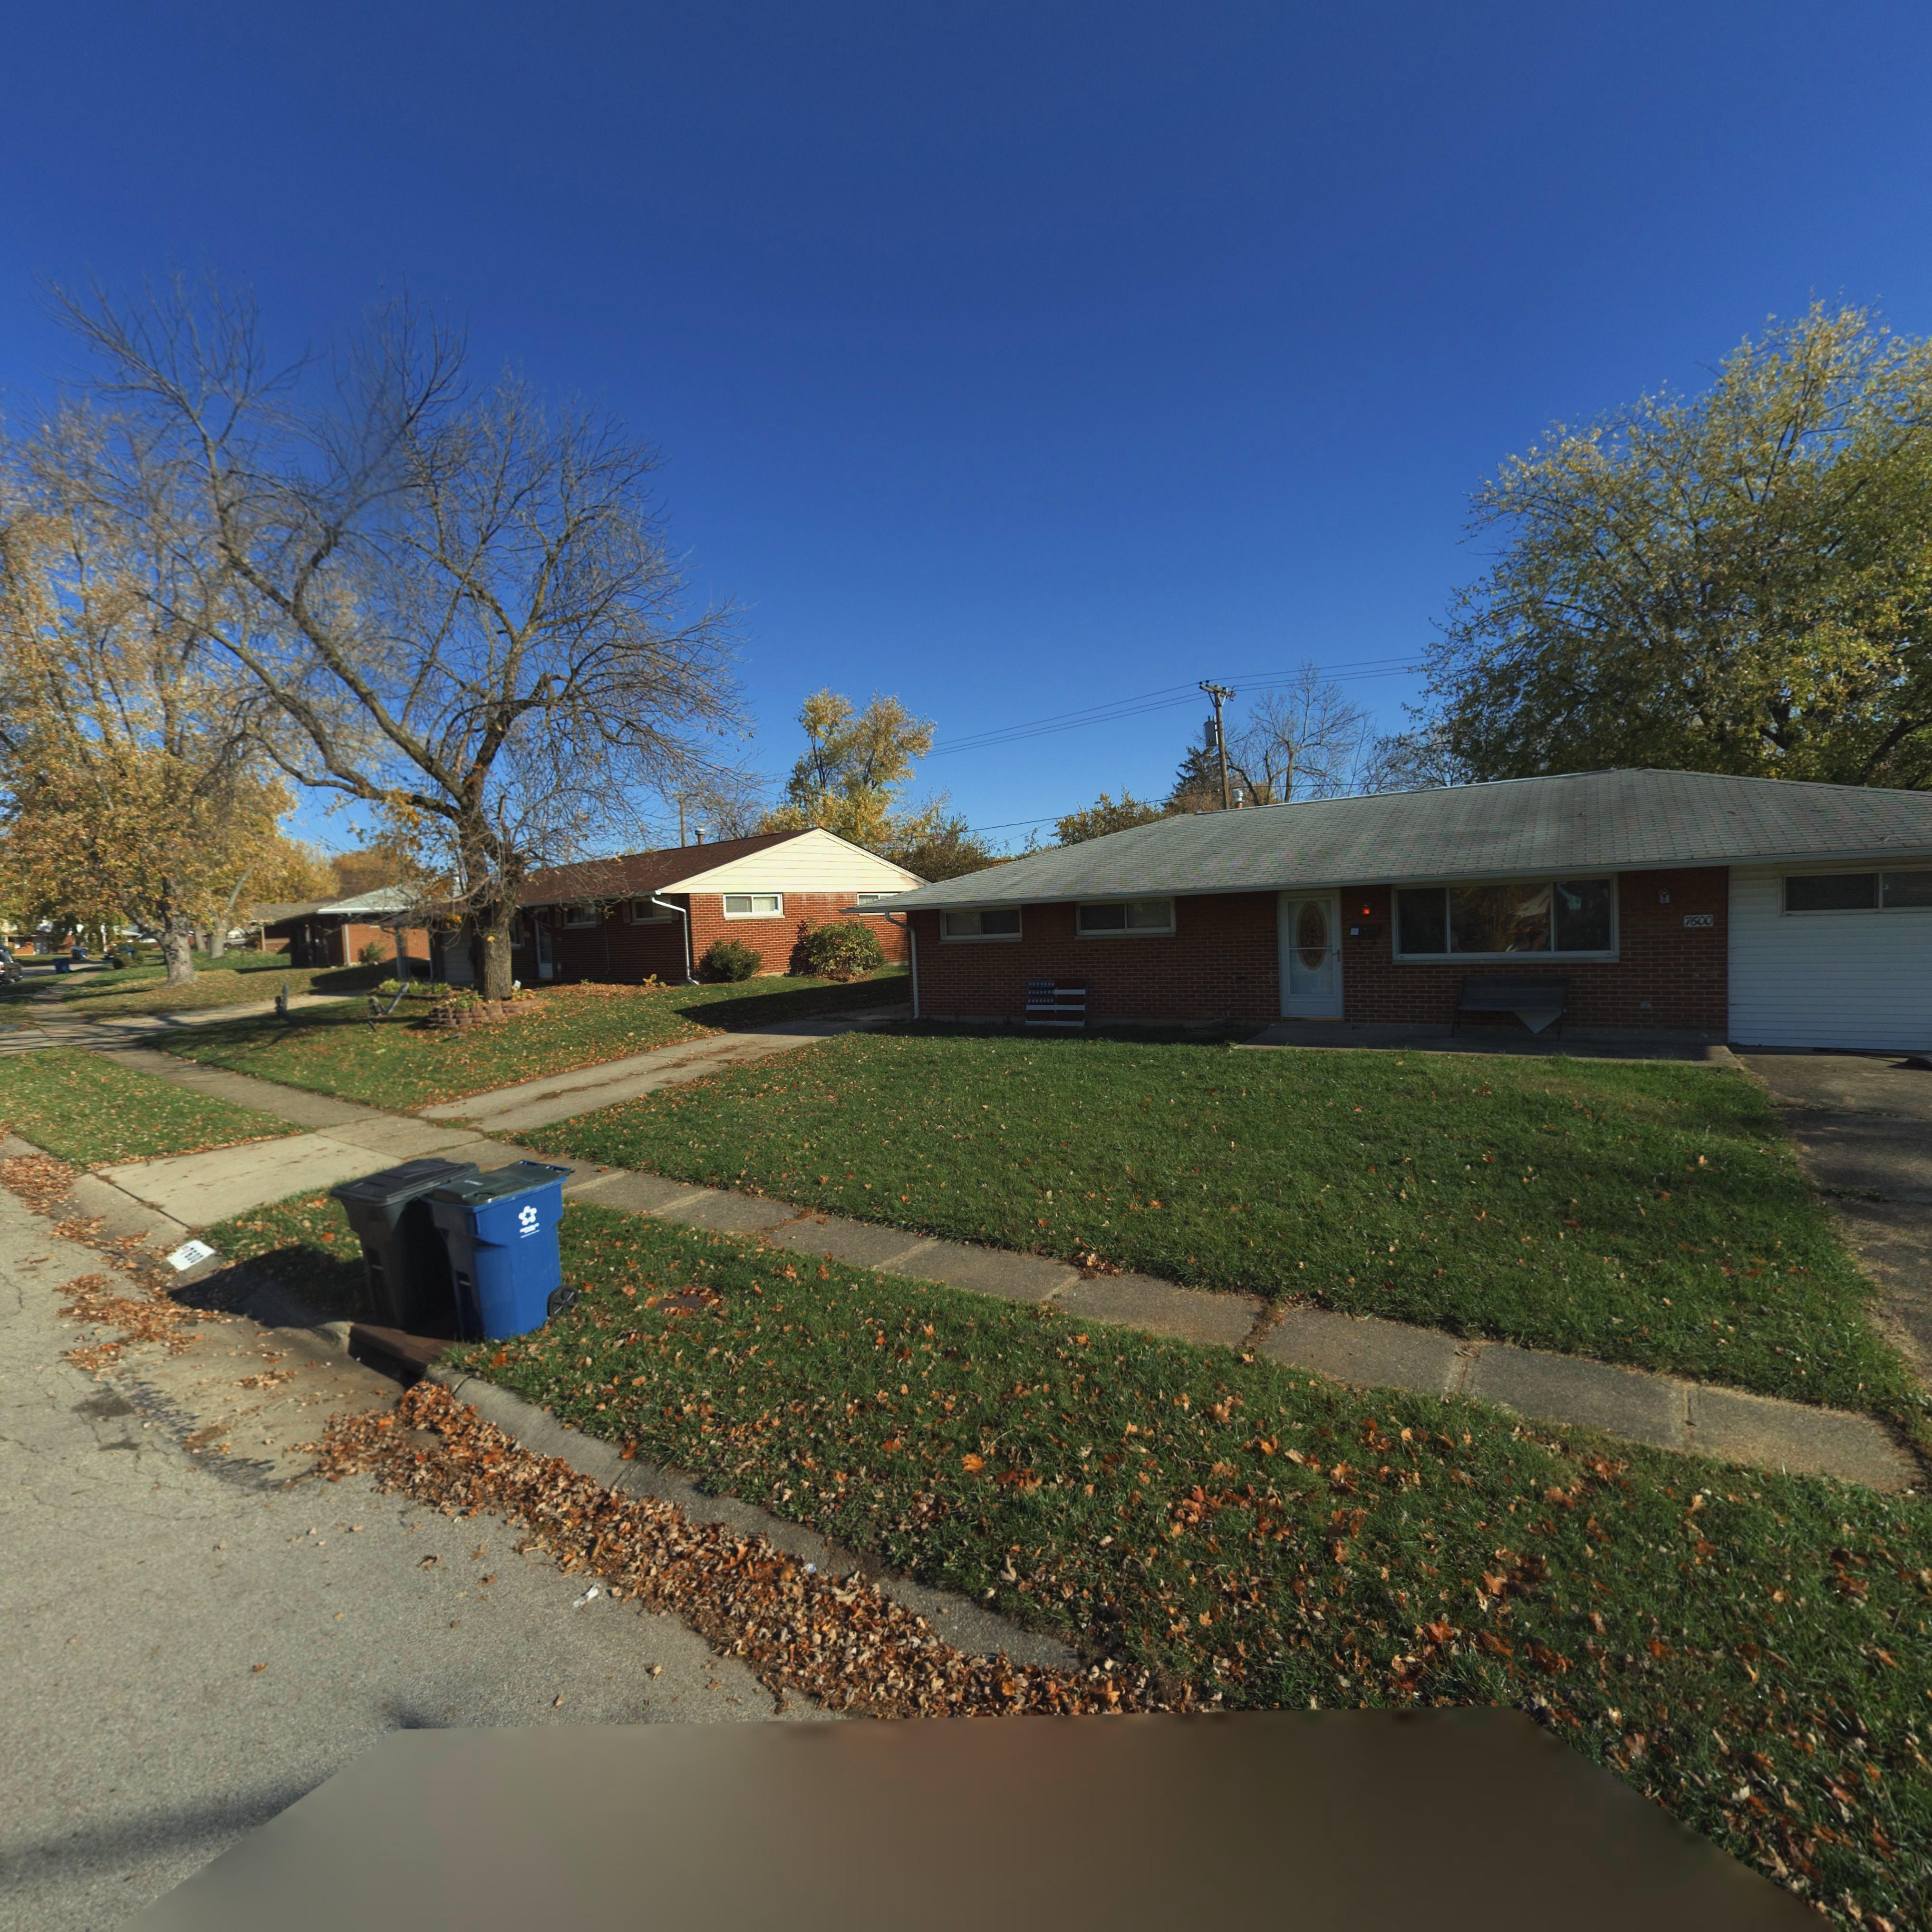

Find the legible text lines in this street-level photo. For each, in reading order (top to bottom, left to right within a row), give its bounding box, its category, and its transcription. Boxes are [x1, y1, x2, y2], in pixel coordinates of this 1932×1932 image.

[1684, 915, 1713, 927] StreetNumber: 7600